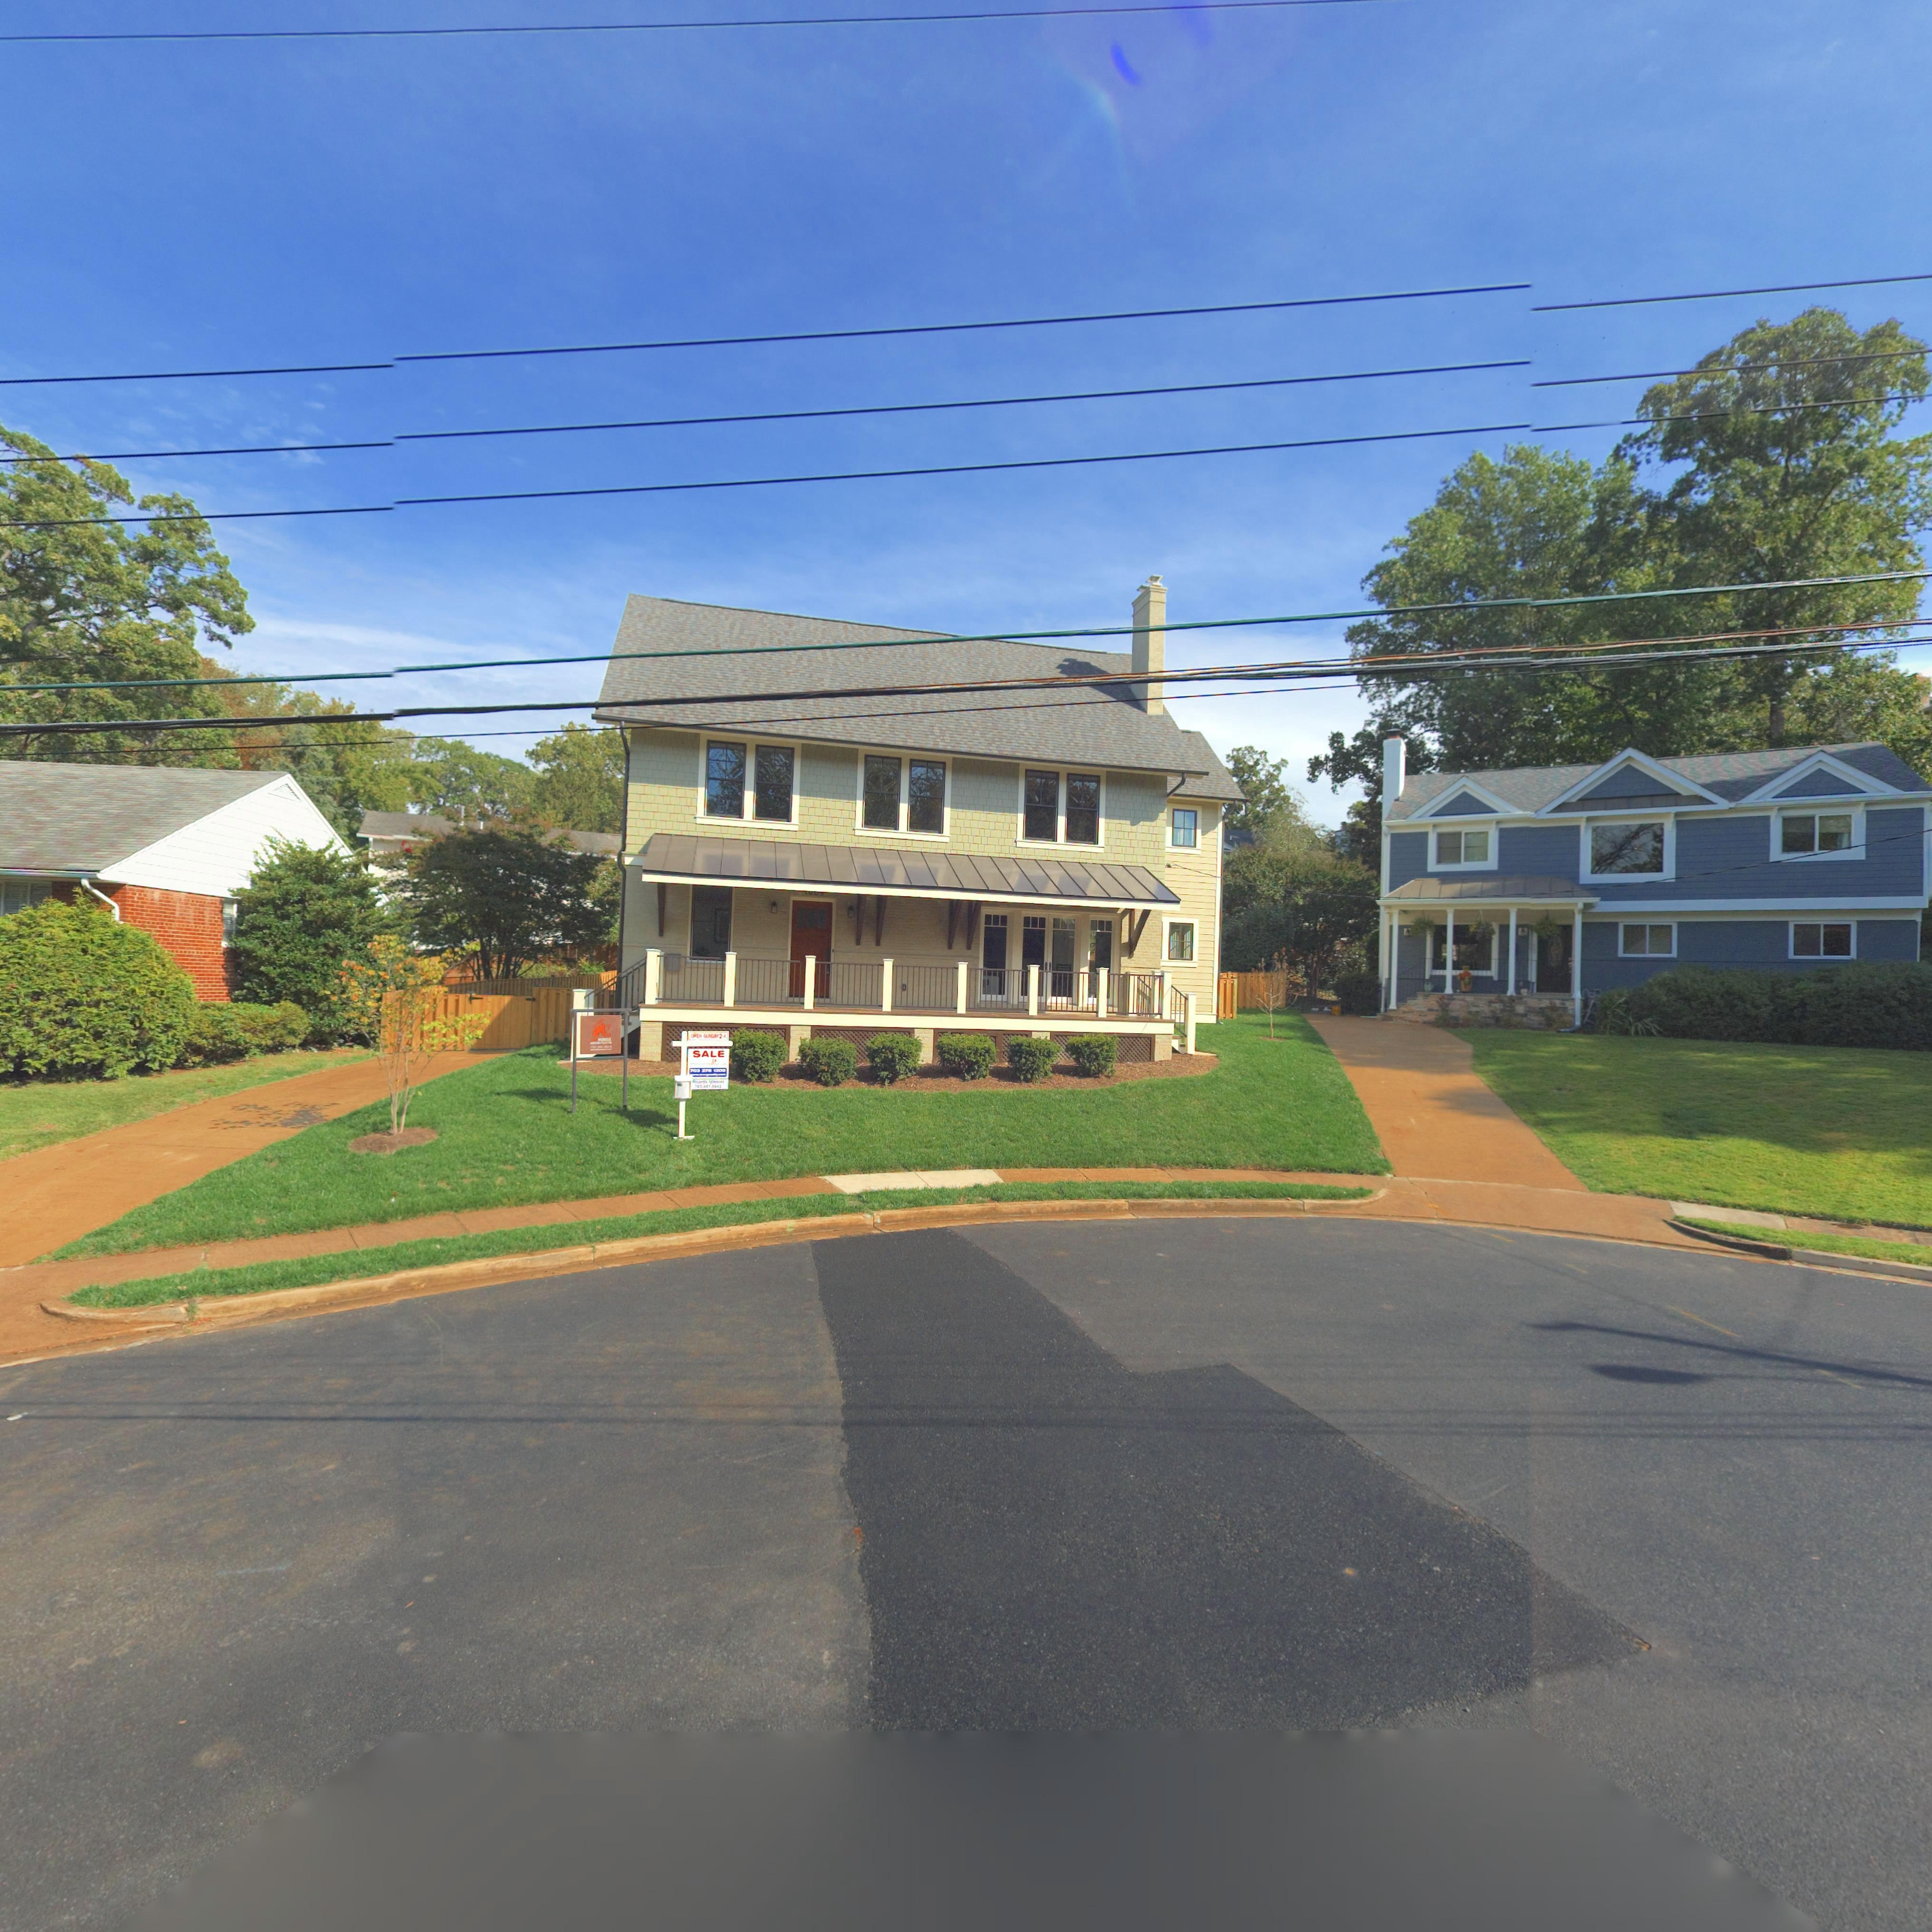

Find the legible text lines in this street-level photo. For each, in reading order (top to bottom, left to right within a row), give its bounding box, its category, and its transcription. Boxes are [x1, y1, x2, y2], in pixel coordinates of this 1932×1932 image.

[692, 1050, 725, 1058] None: SALE
[689, 1068, 726, 1073] None: 703 278 1200